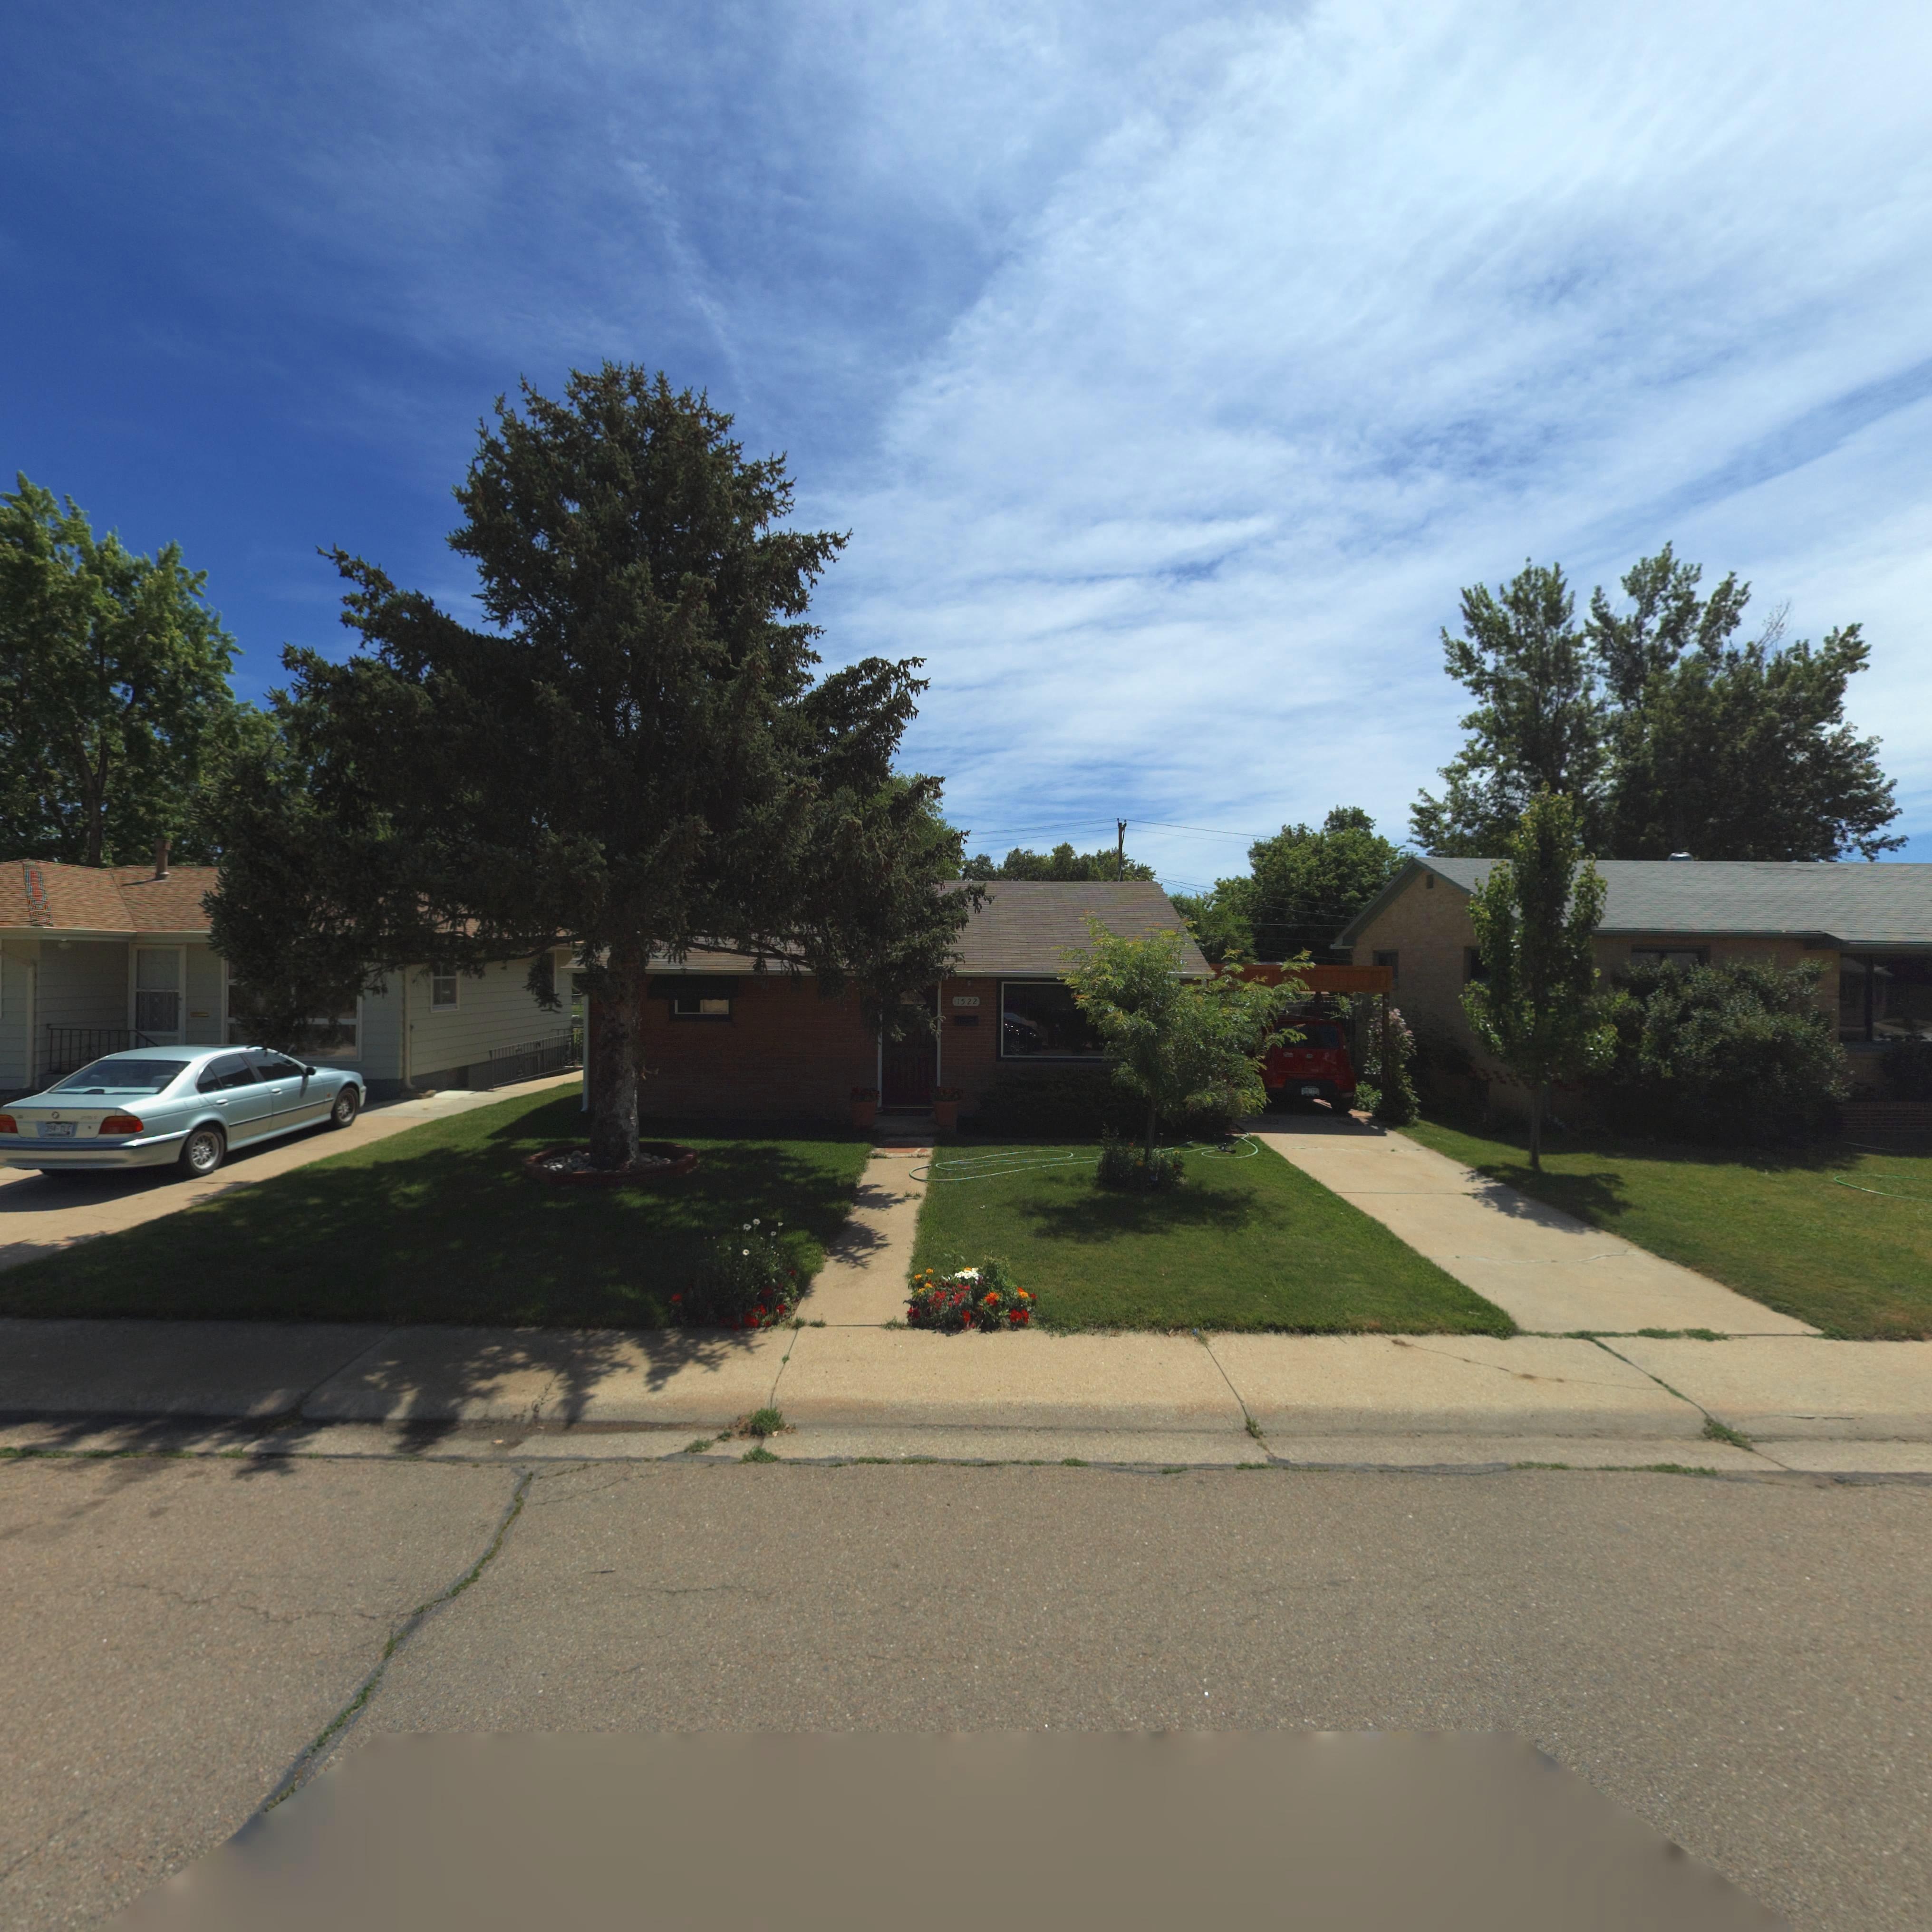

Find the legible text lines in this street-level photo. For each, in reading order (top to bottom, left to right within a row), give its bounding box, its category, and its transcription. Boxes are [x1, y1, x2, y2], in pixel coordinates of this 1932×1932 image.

[956, 997, 977, 1005] StreetNumber: 1522